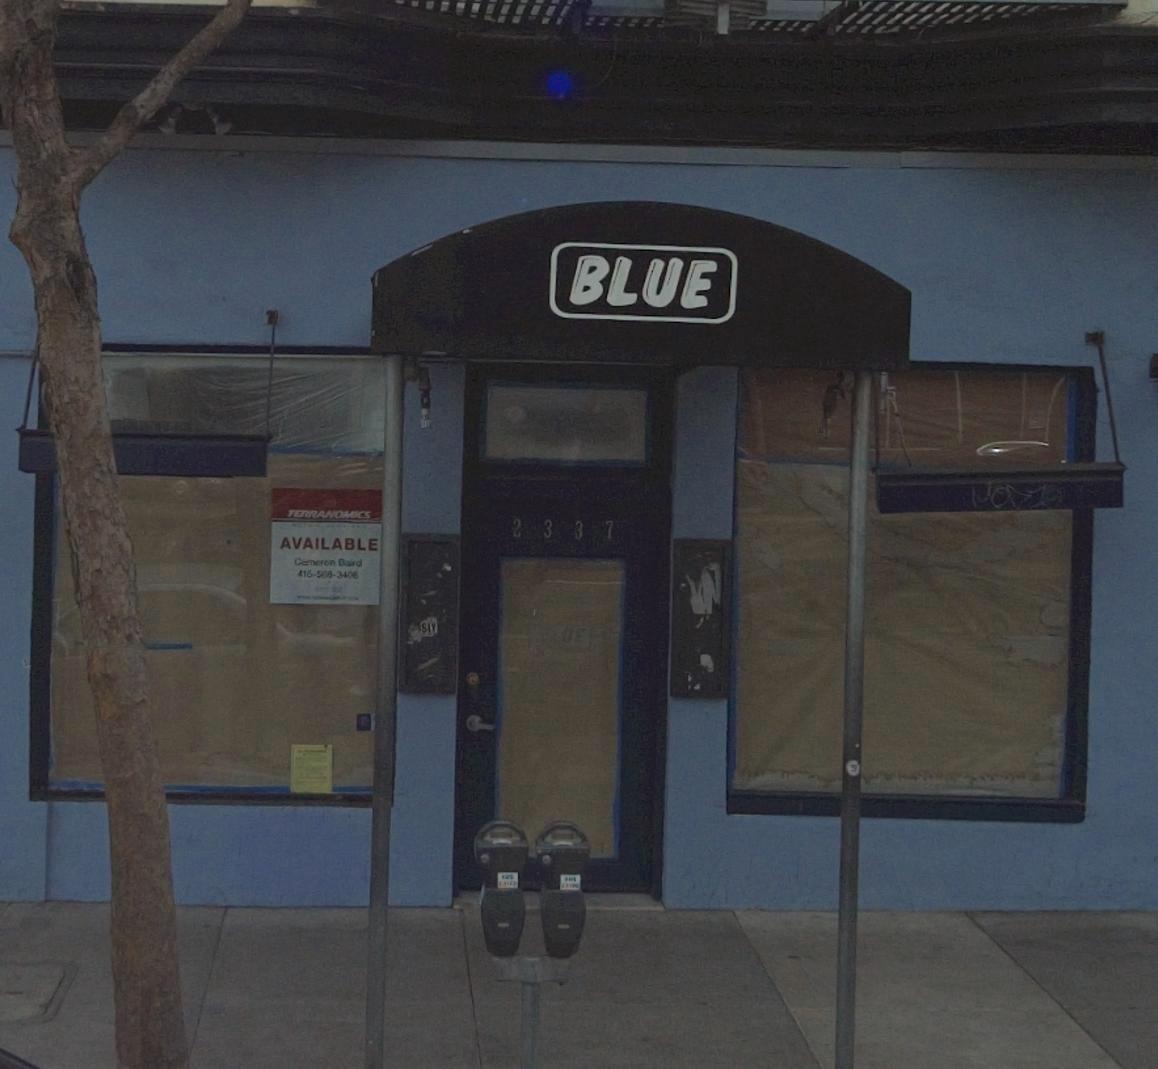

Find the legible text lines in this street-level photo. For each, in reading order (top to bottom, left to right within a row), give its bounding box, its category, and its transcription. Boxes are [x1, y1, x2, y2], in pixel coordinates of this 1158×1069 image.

[565, 253, 720, 310] BusinessName: BLUE
[283, 505, 375, 522] None: TERRANOMICS
[510, 515, 618, 543] StreetNumber: 2337
[277, 534, 381, 554] None: AVAILABLE
[295, 568, 362, 581] None: 41*-5**-3406